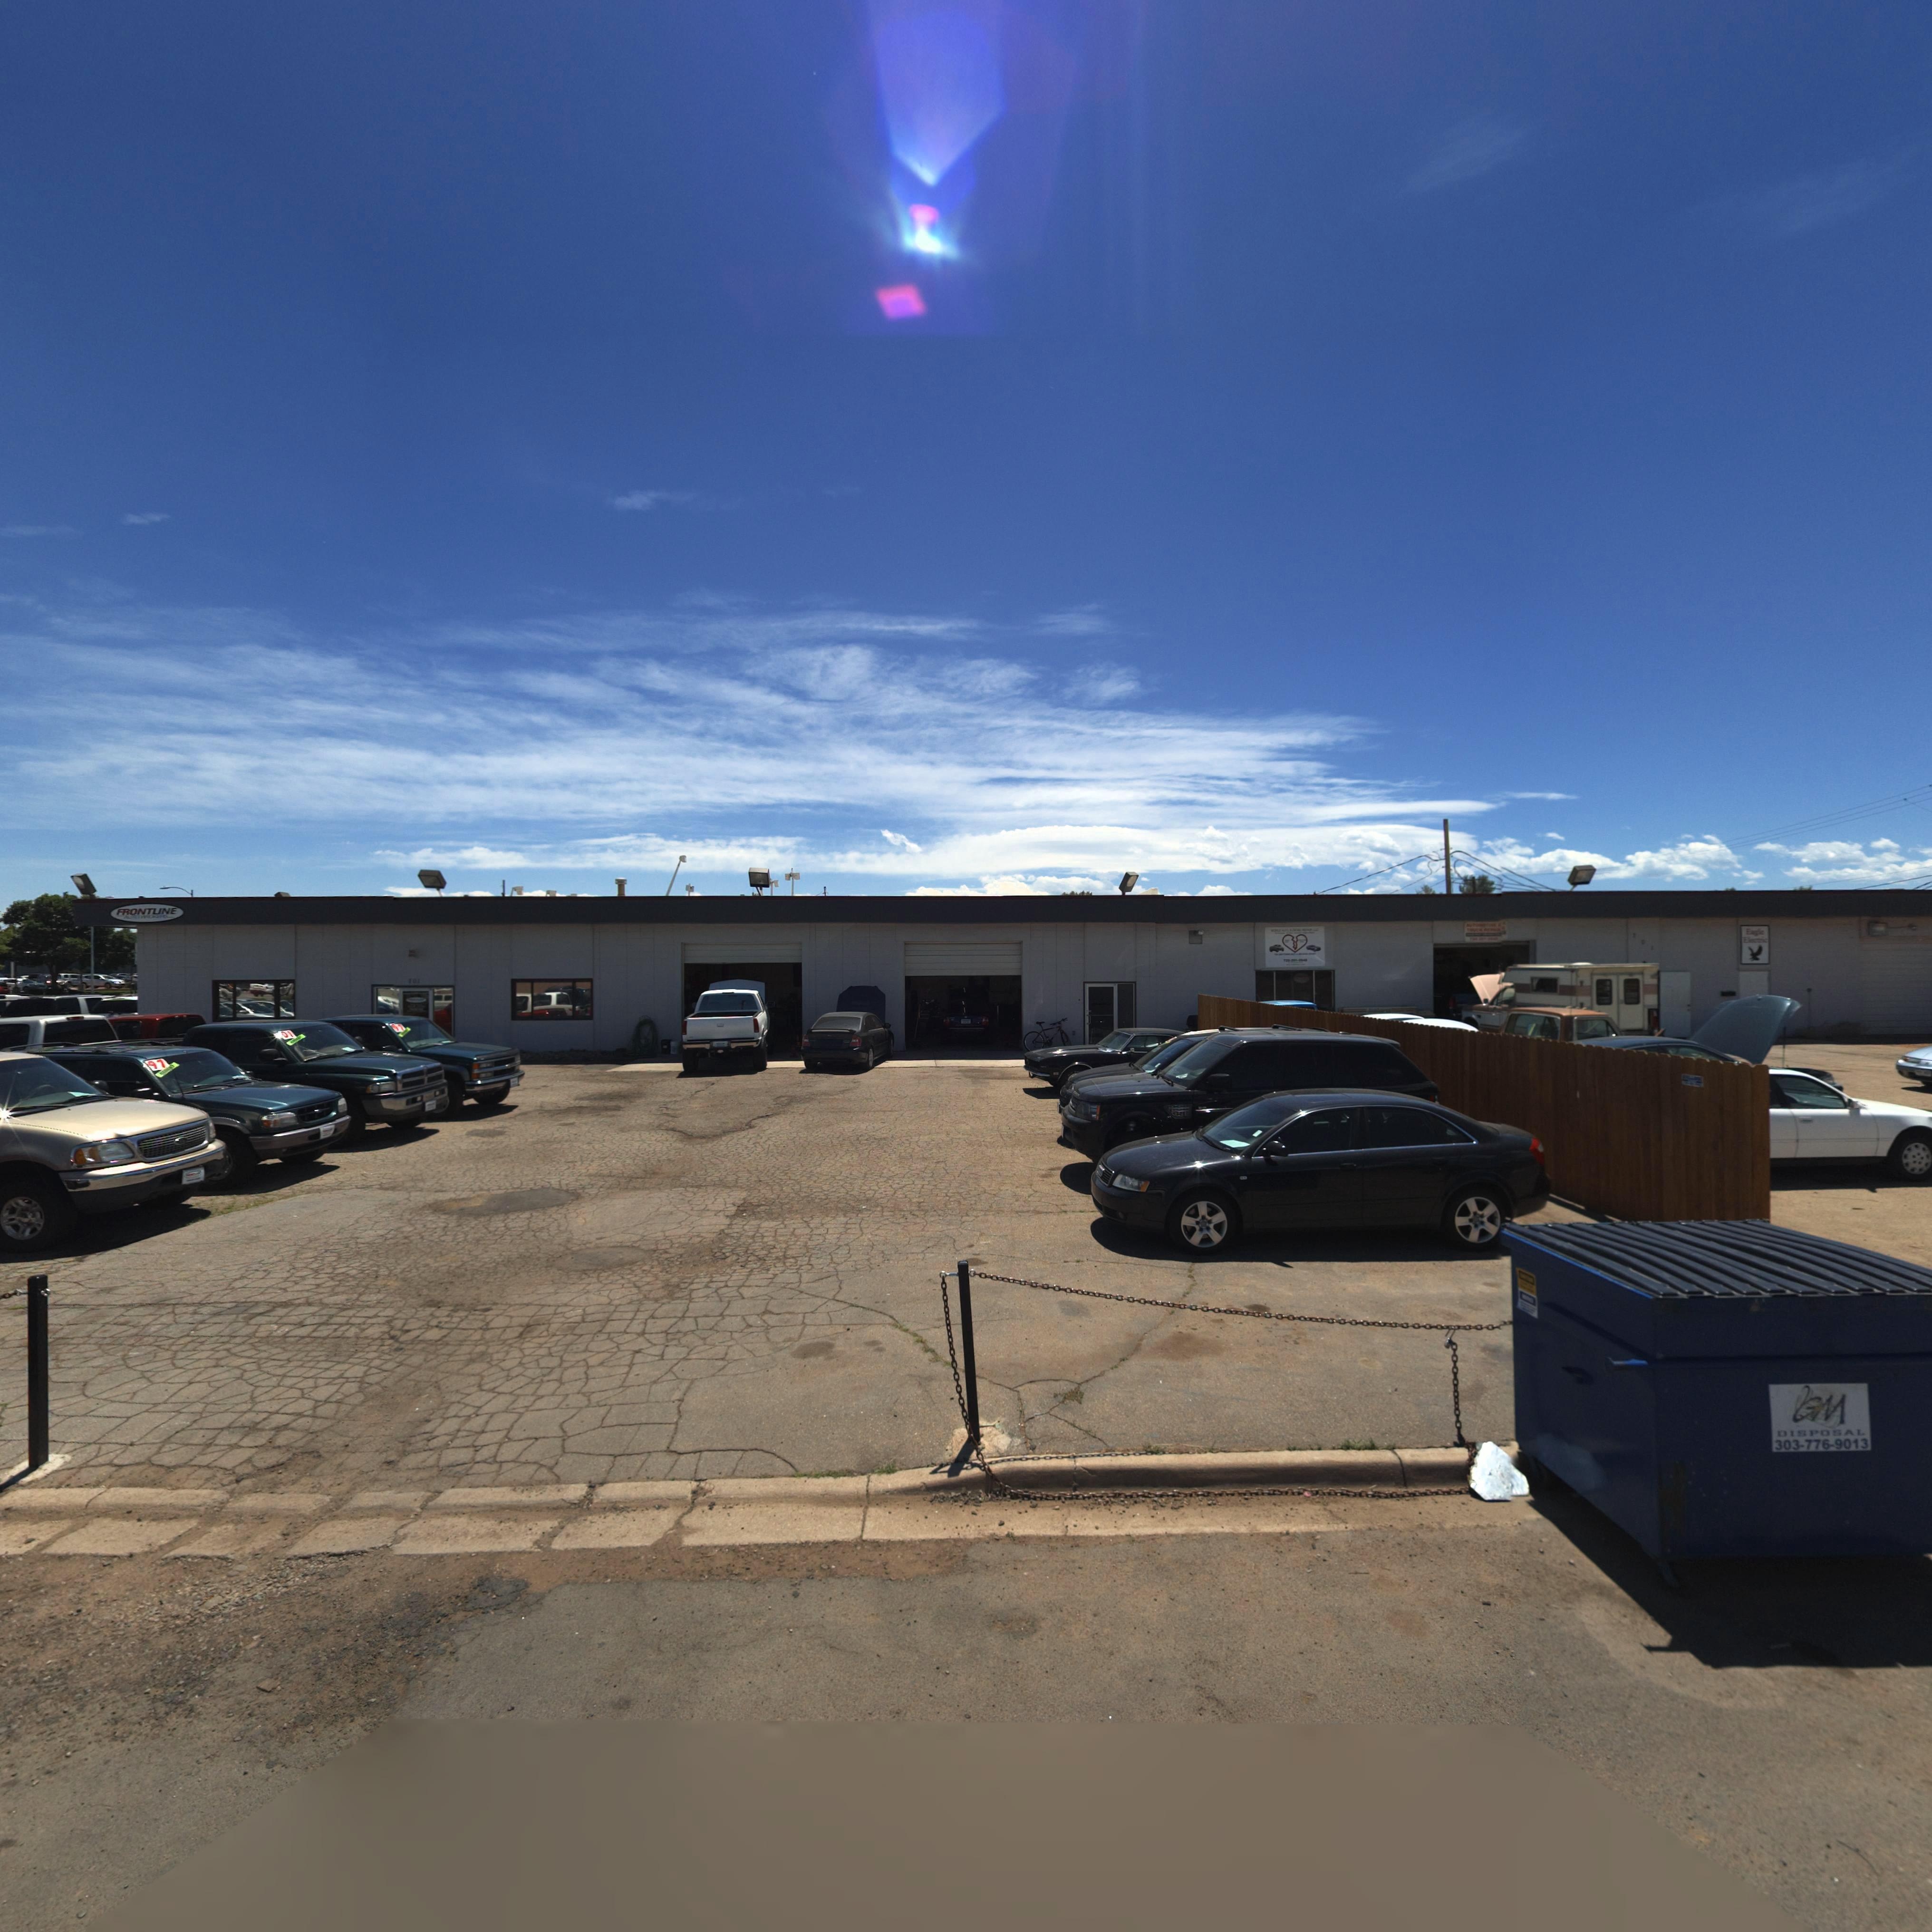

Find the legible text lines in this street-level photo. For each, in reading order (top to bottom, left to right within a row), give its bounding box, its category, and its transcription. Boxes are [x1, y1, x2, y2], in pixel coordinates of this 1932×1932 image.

[116, 907, 177, 915] BusinessName: FRONTLINE
[1466, 927, 1484, 932] BusinessName: TR**K
[1746, 927, 1764, 936] BusinessName: Eagle
[1631, 931, 1654, 952] StreetNumber: *0*
[1742, 936, 1768, 943] BusinessName: Electric
[407, 977, 420, 984] StreetNumber: 701